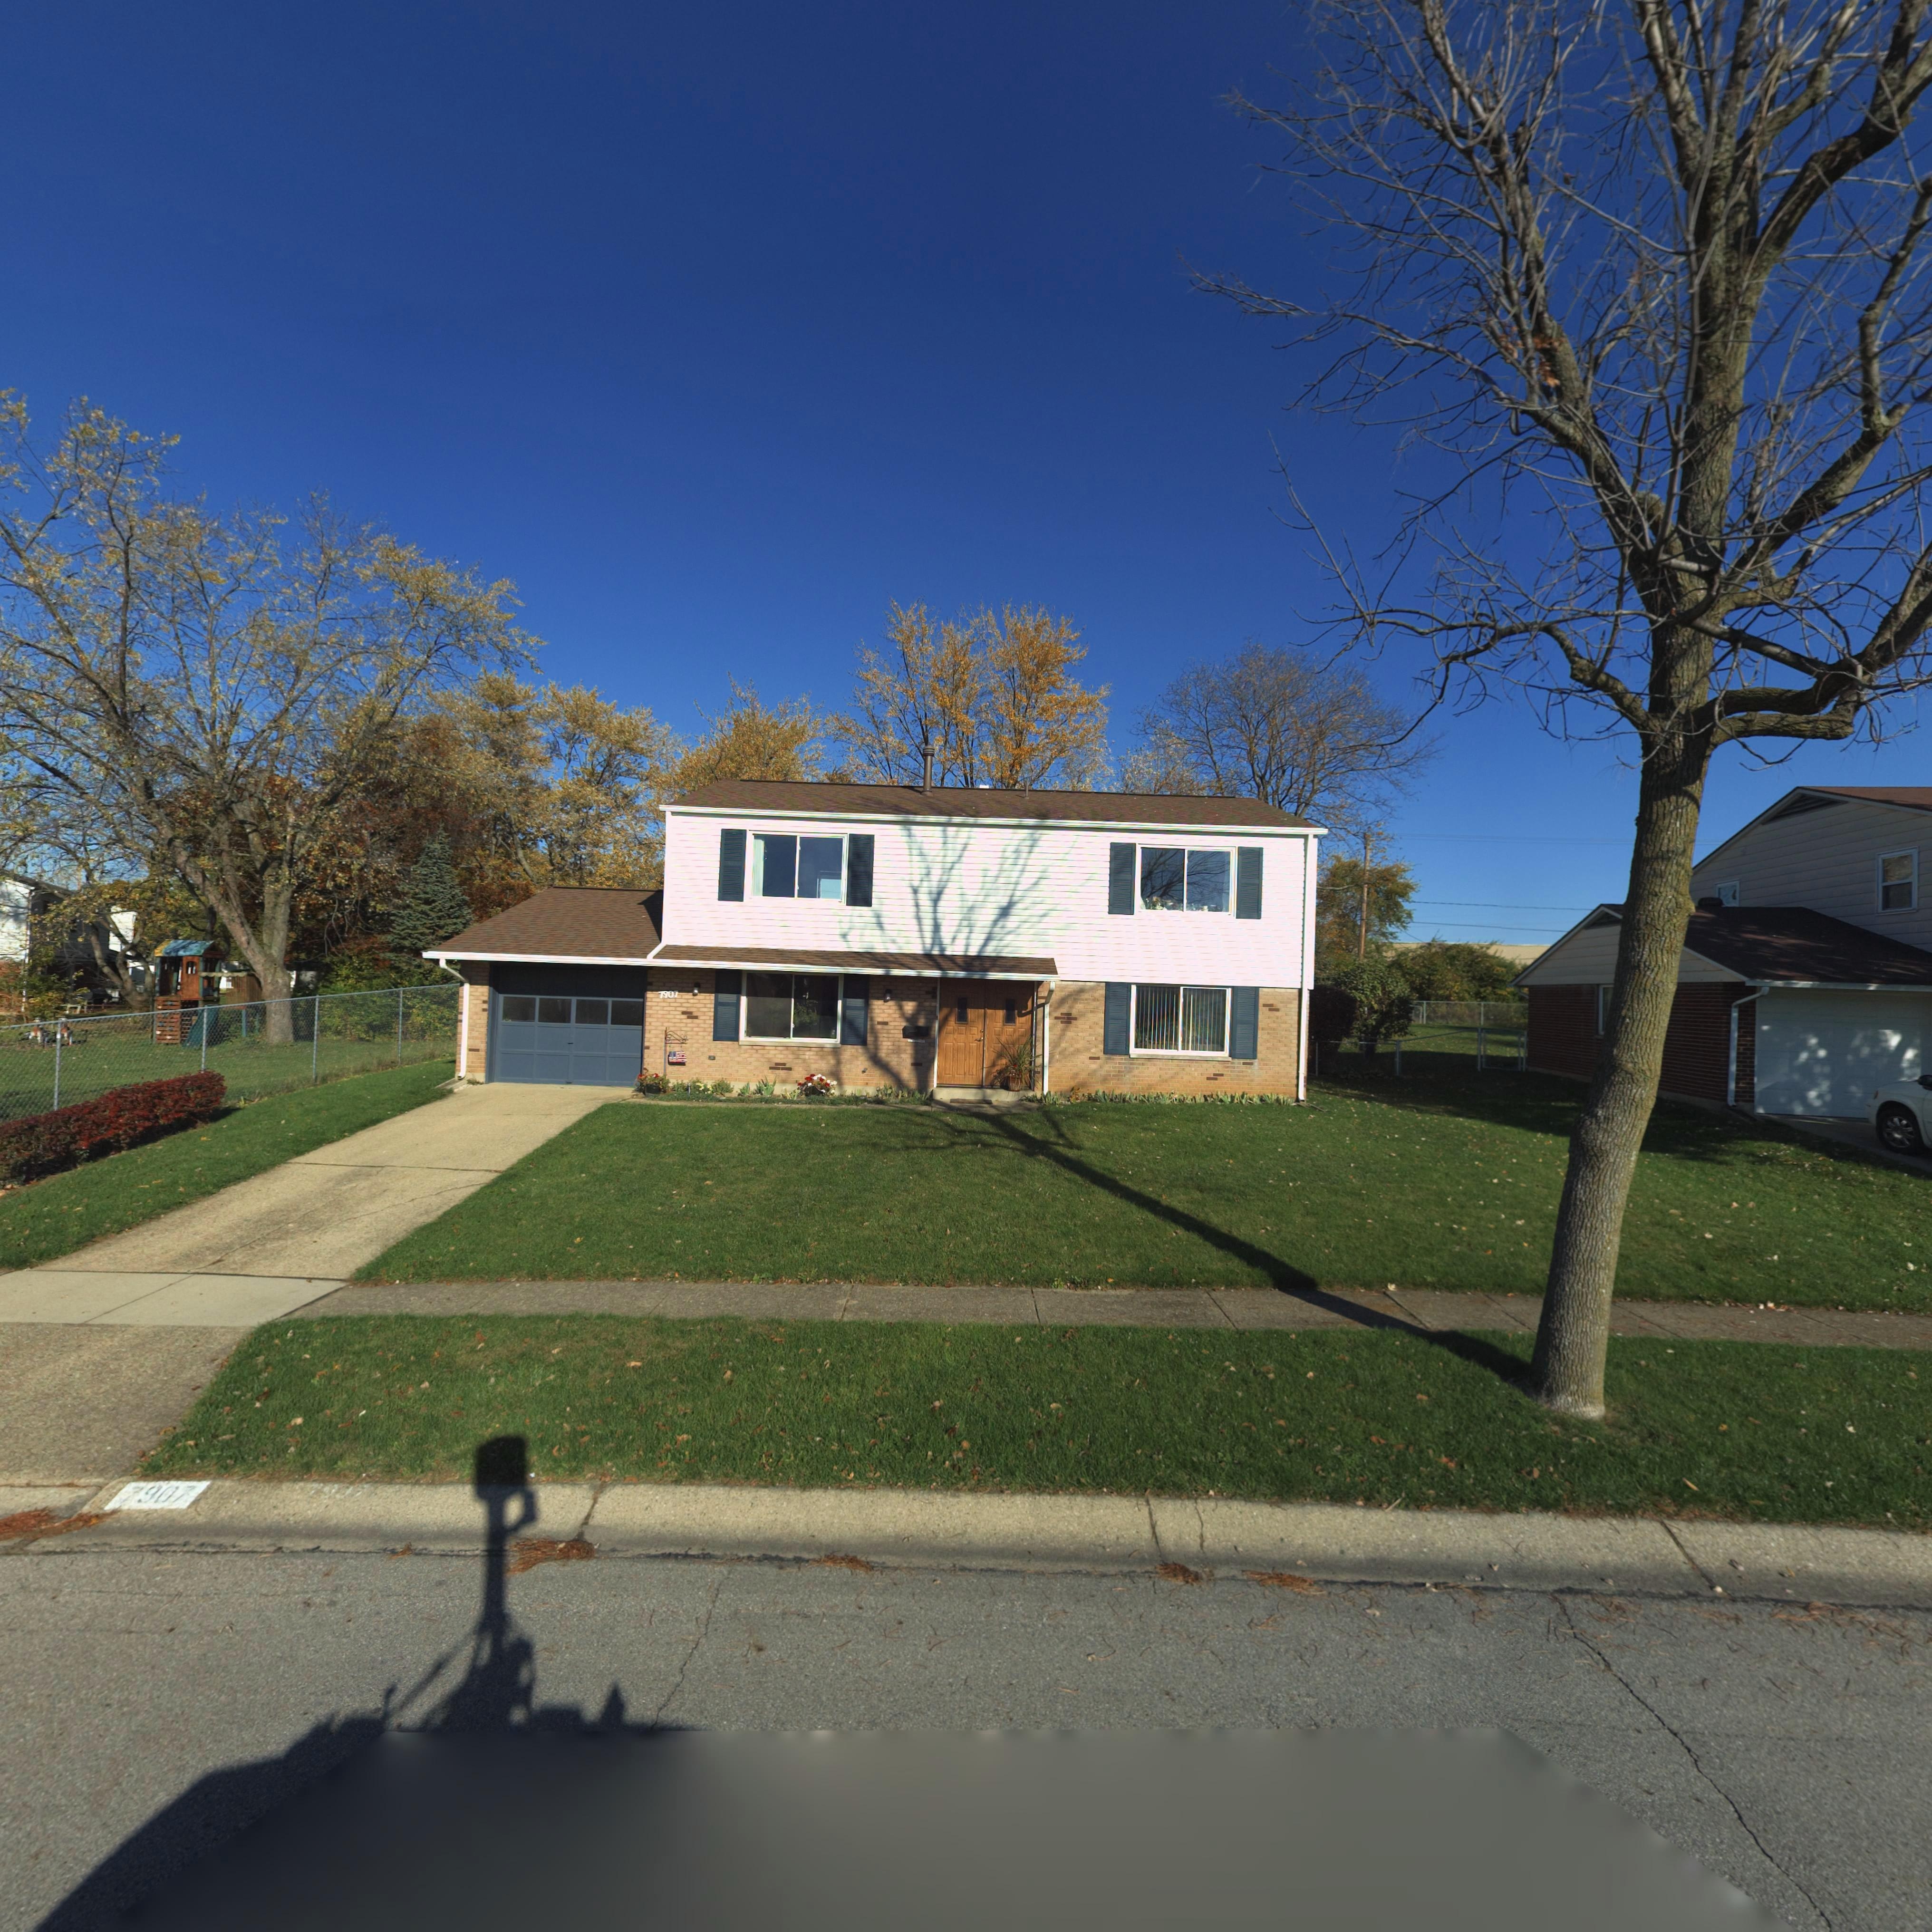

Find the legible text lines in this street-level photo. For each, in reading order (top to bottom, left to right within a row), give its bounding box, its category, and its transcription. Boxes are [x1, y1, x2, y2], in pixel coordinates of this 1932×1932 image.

[657, 989, 680, 999] StreetNumber: 7907
[116, 1485, 201, 1505] StreetNumber: 7907